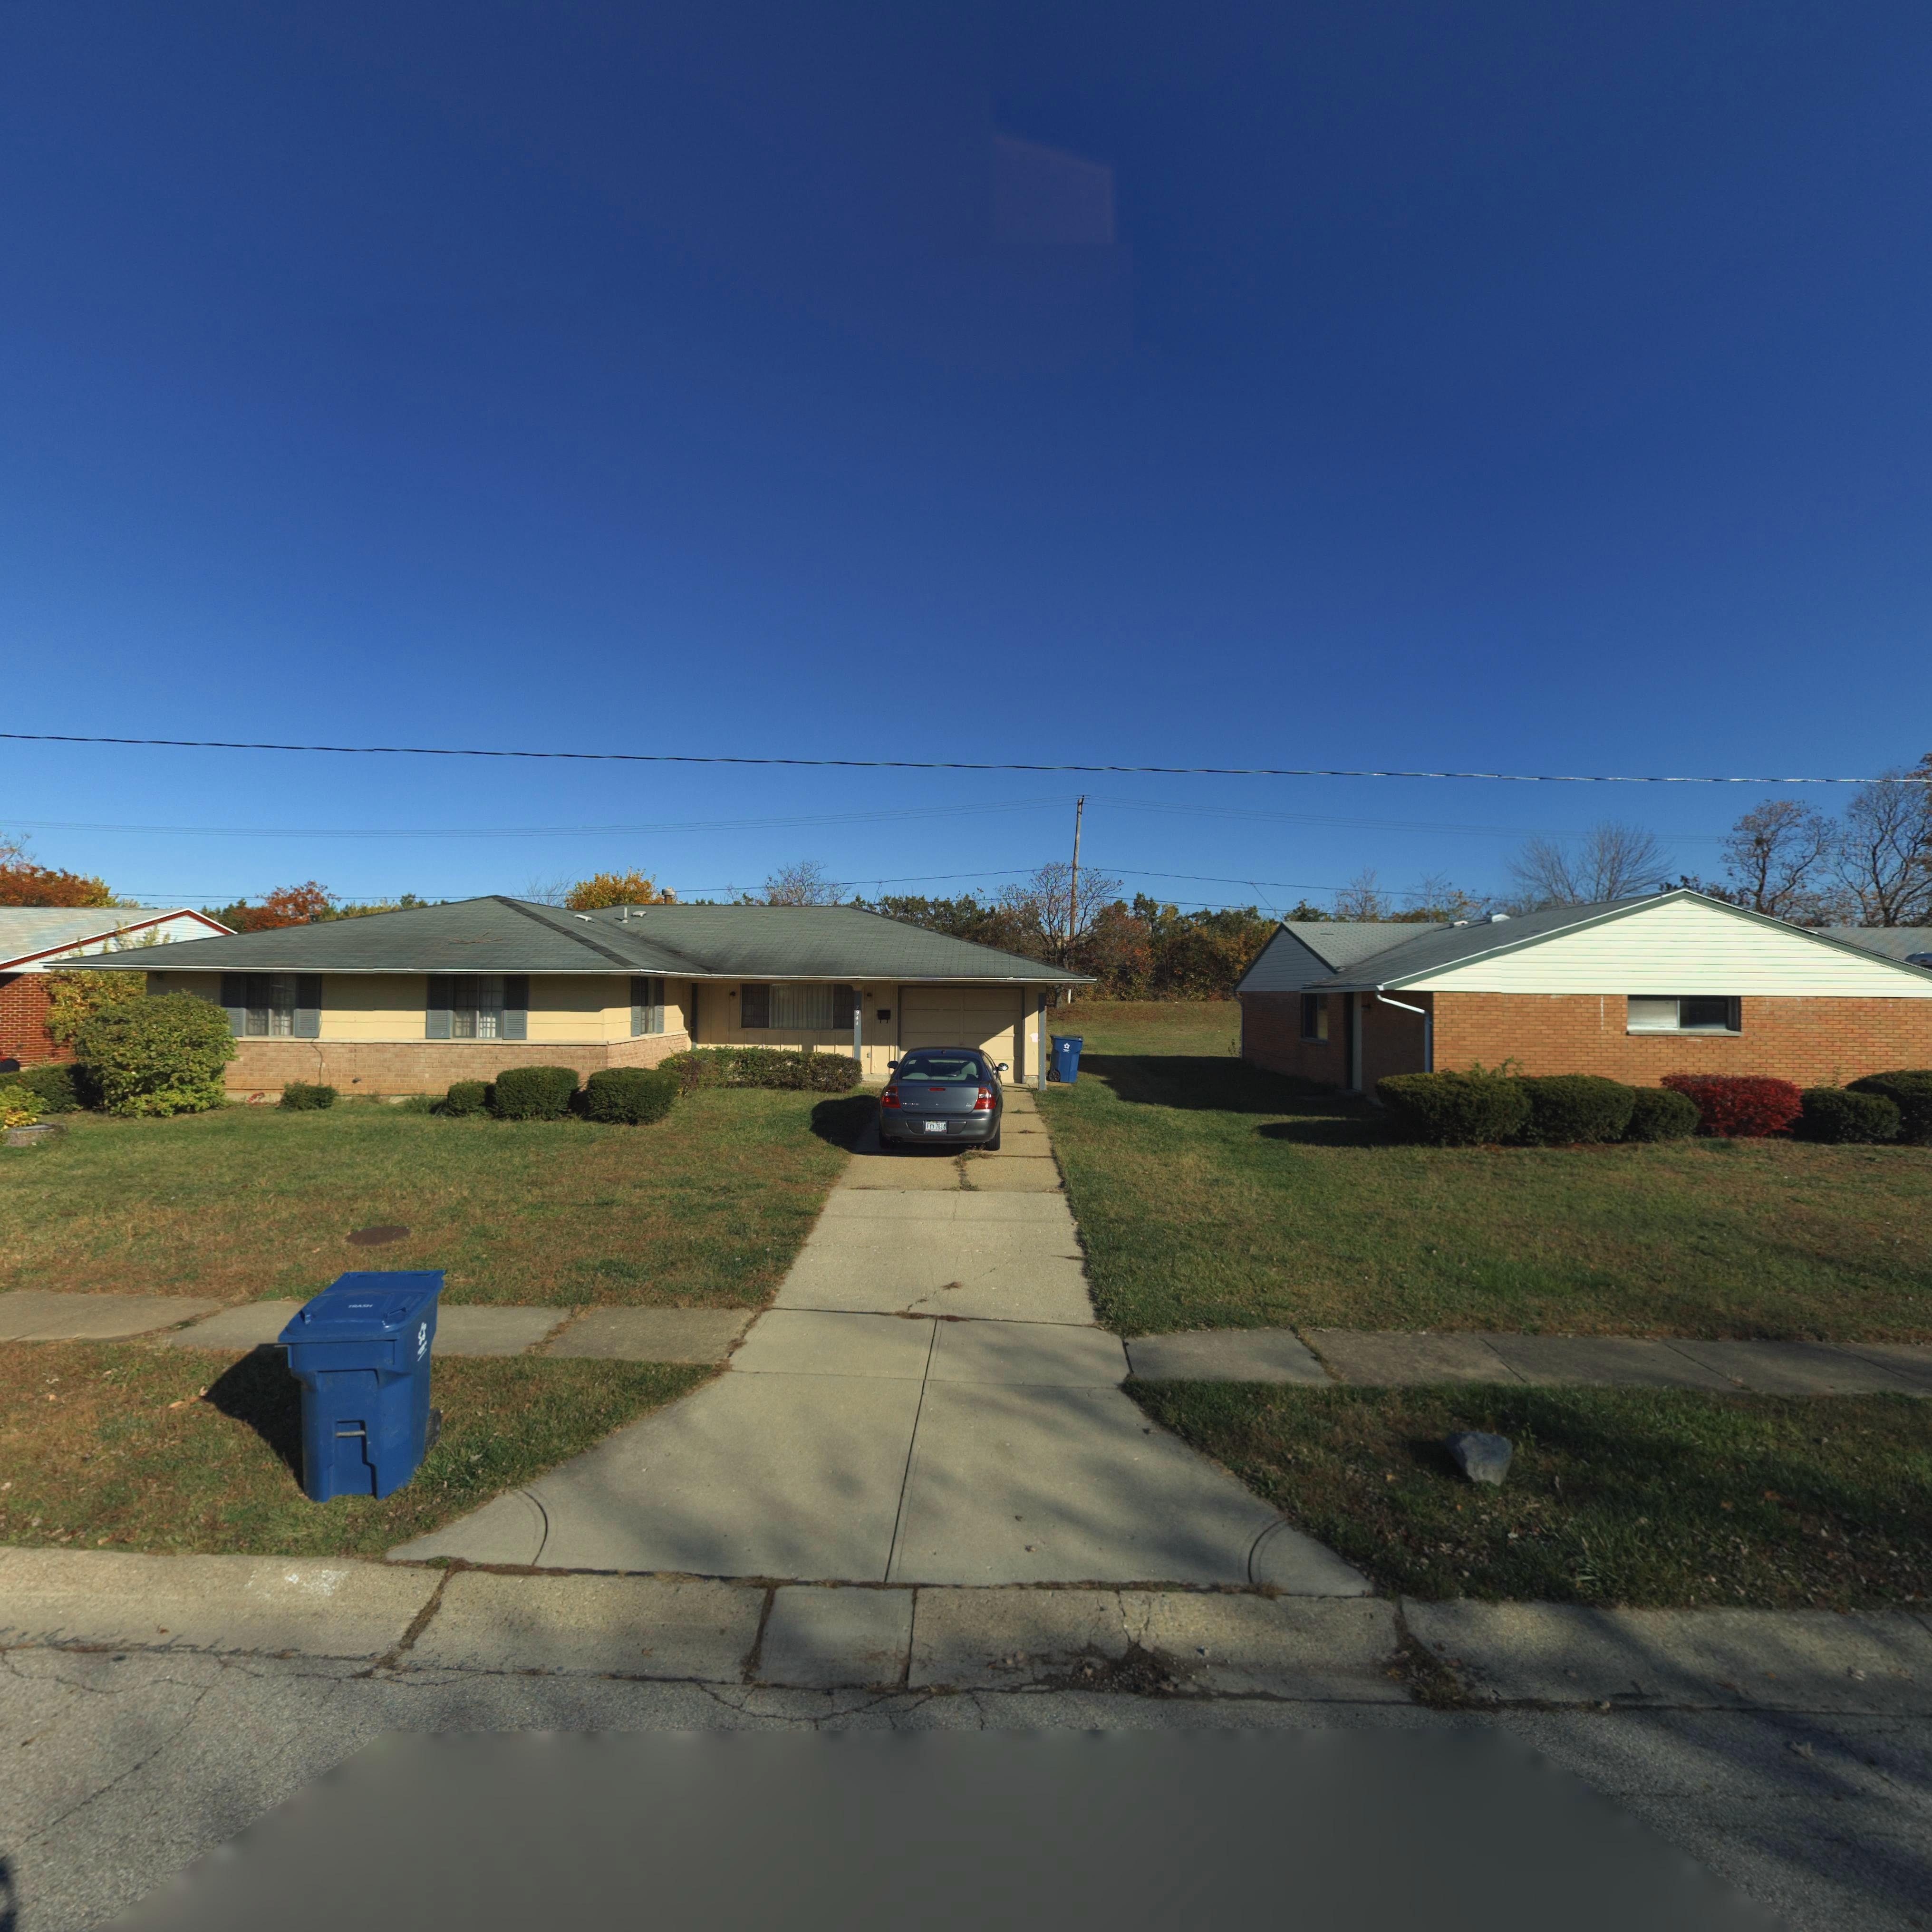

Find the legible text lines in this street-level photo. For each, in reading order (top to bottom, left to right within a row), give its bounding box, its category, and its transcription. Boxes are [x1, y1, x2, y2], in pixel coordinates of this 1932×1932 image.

[855, 1004, 860, 1026] StreetNumber: 7941